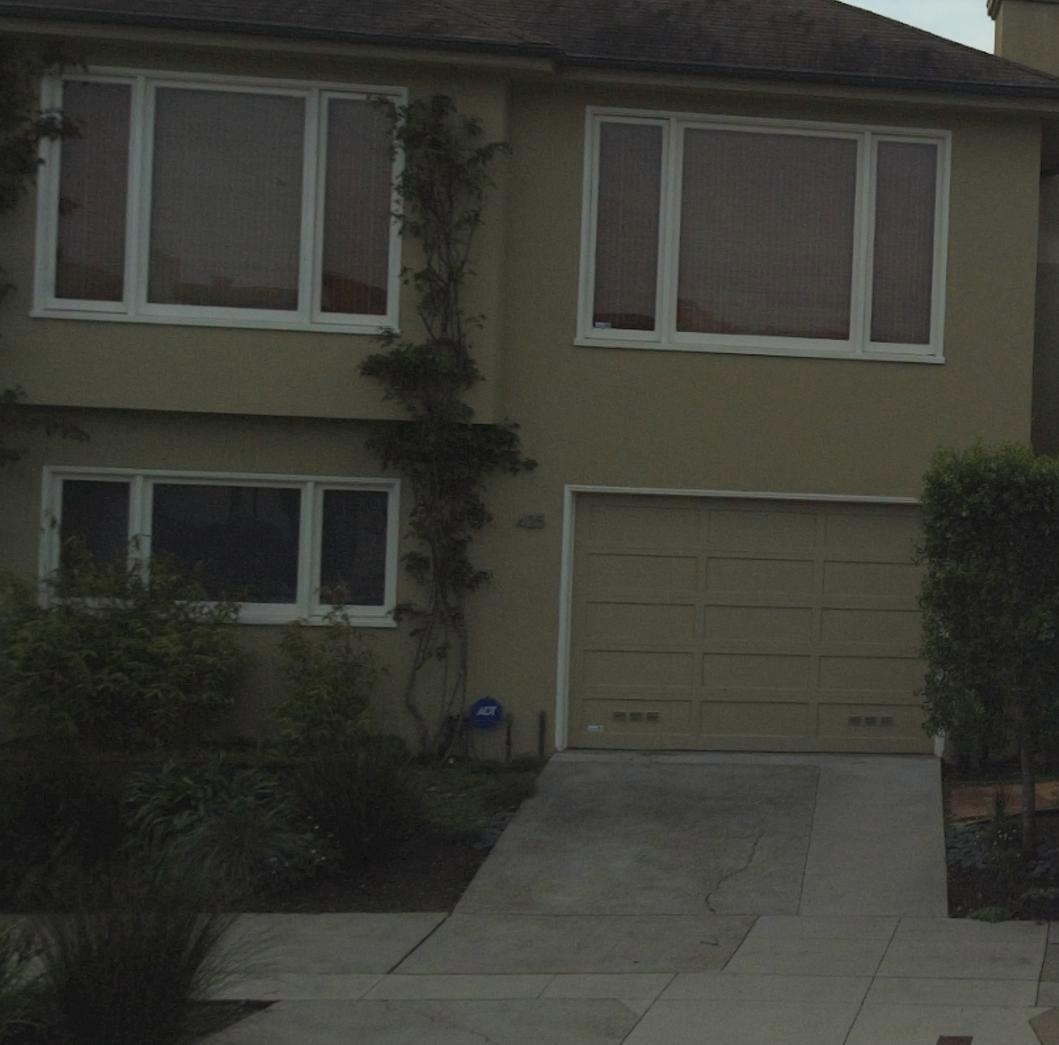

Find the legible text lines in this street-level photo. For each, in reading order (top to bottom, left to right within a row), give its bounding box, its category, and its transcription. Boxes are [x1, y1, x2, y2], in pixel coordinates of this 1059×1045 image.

[515, 515, 546, 530] StreetNumber: 425
[475, 705, 498, 717] None: ADT